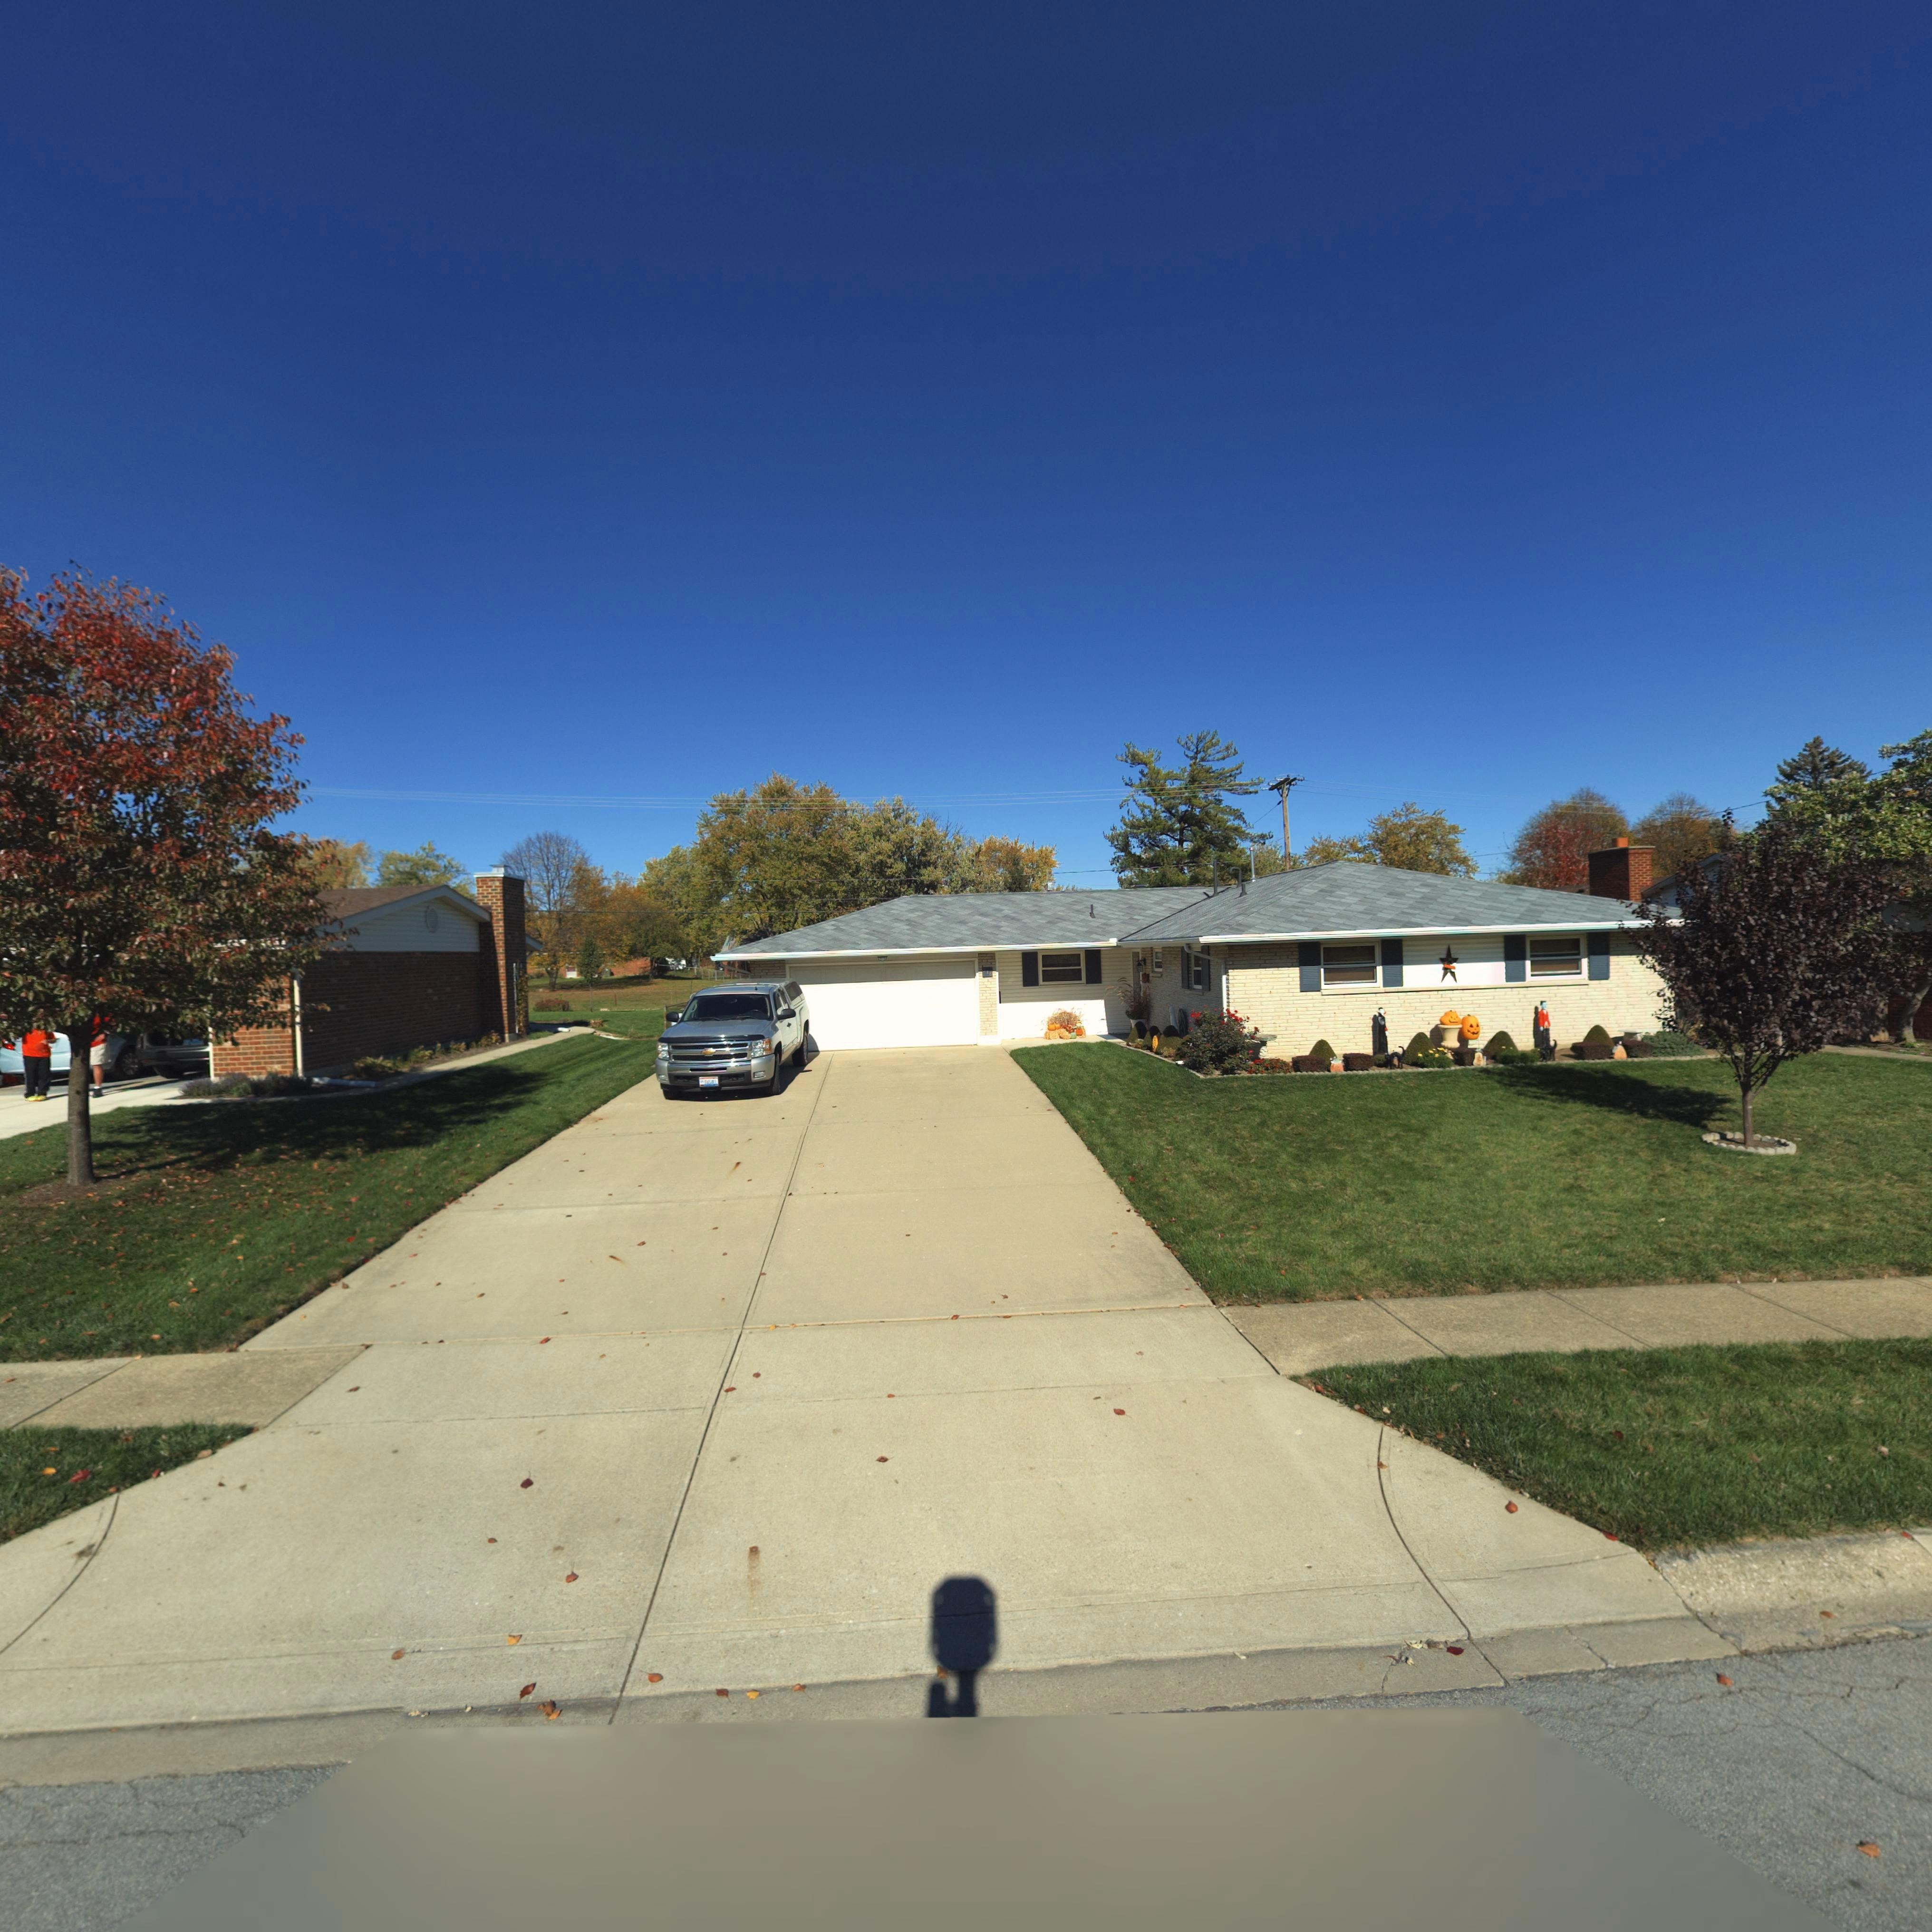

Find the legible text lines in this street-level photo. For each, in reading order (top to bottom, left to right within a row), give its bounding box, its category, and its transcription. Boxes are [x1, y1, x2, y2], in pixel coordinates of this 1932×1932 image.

[982, 967, 992, 976] StreetNumber: 816